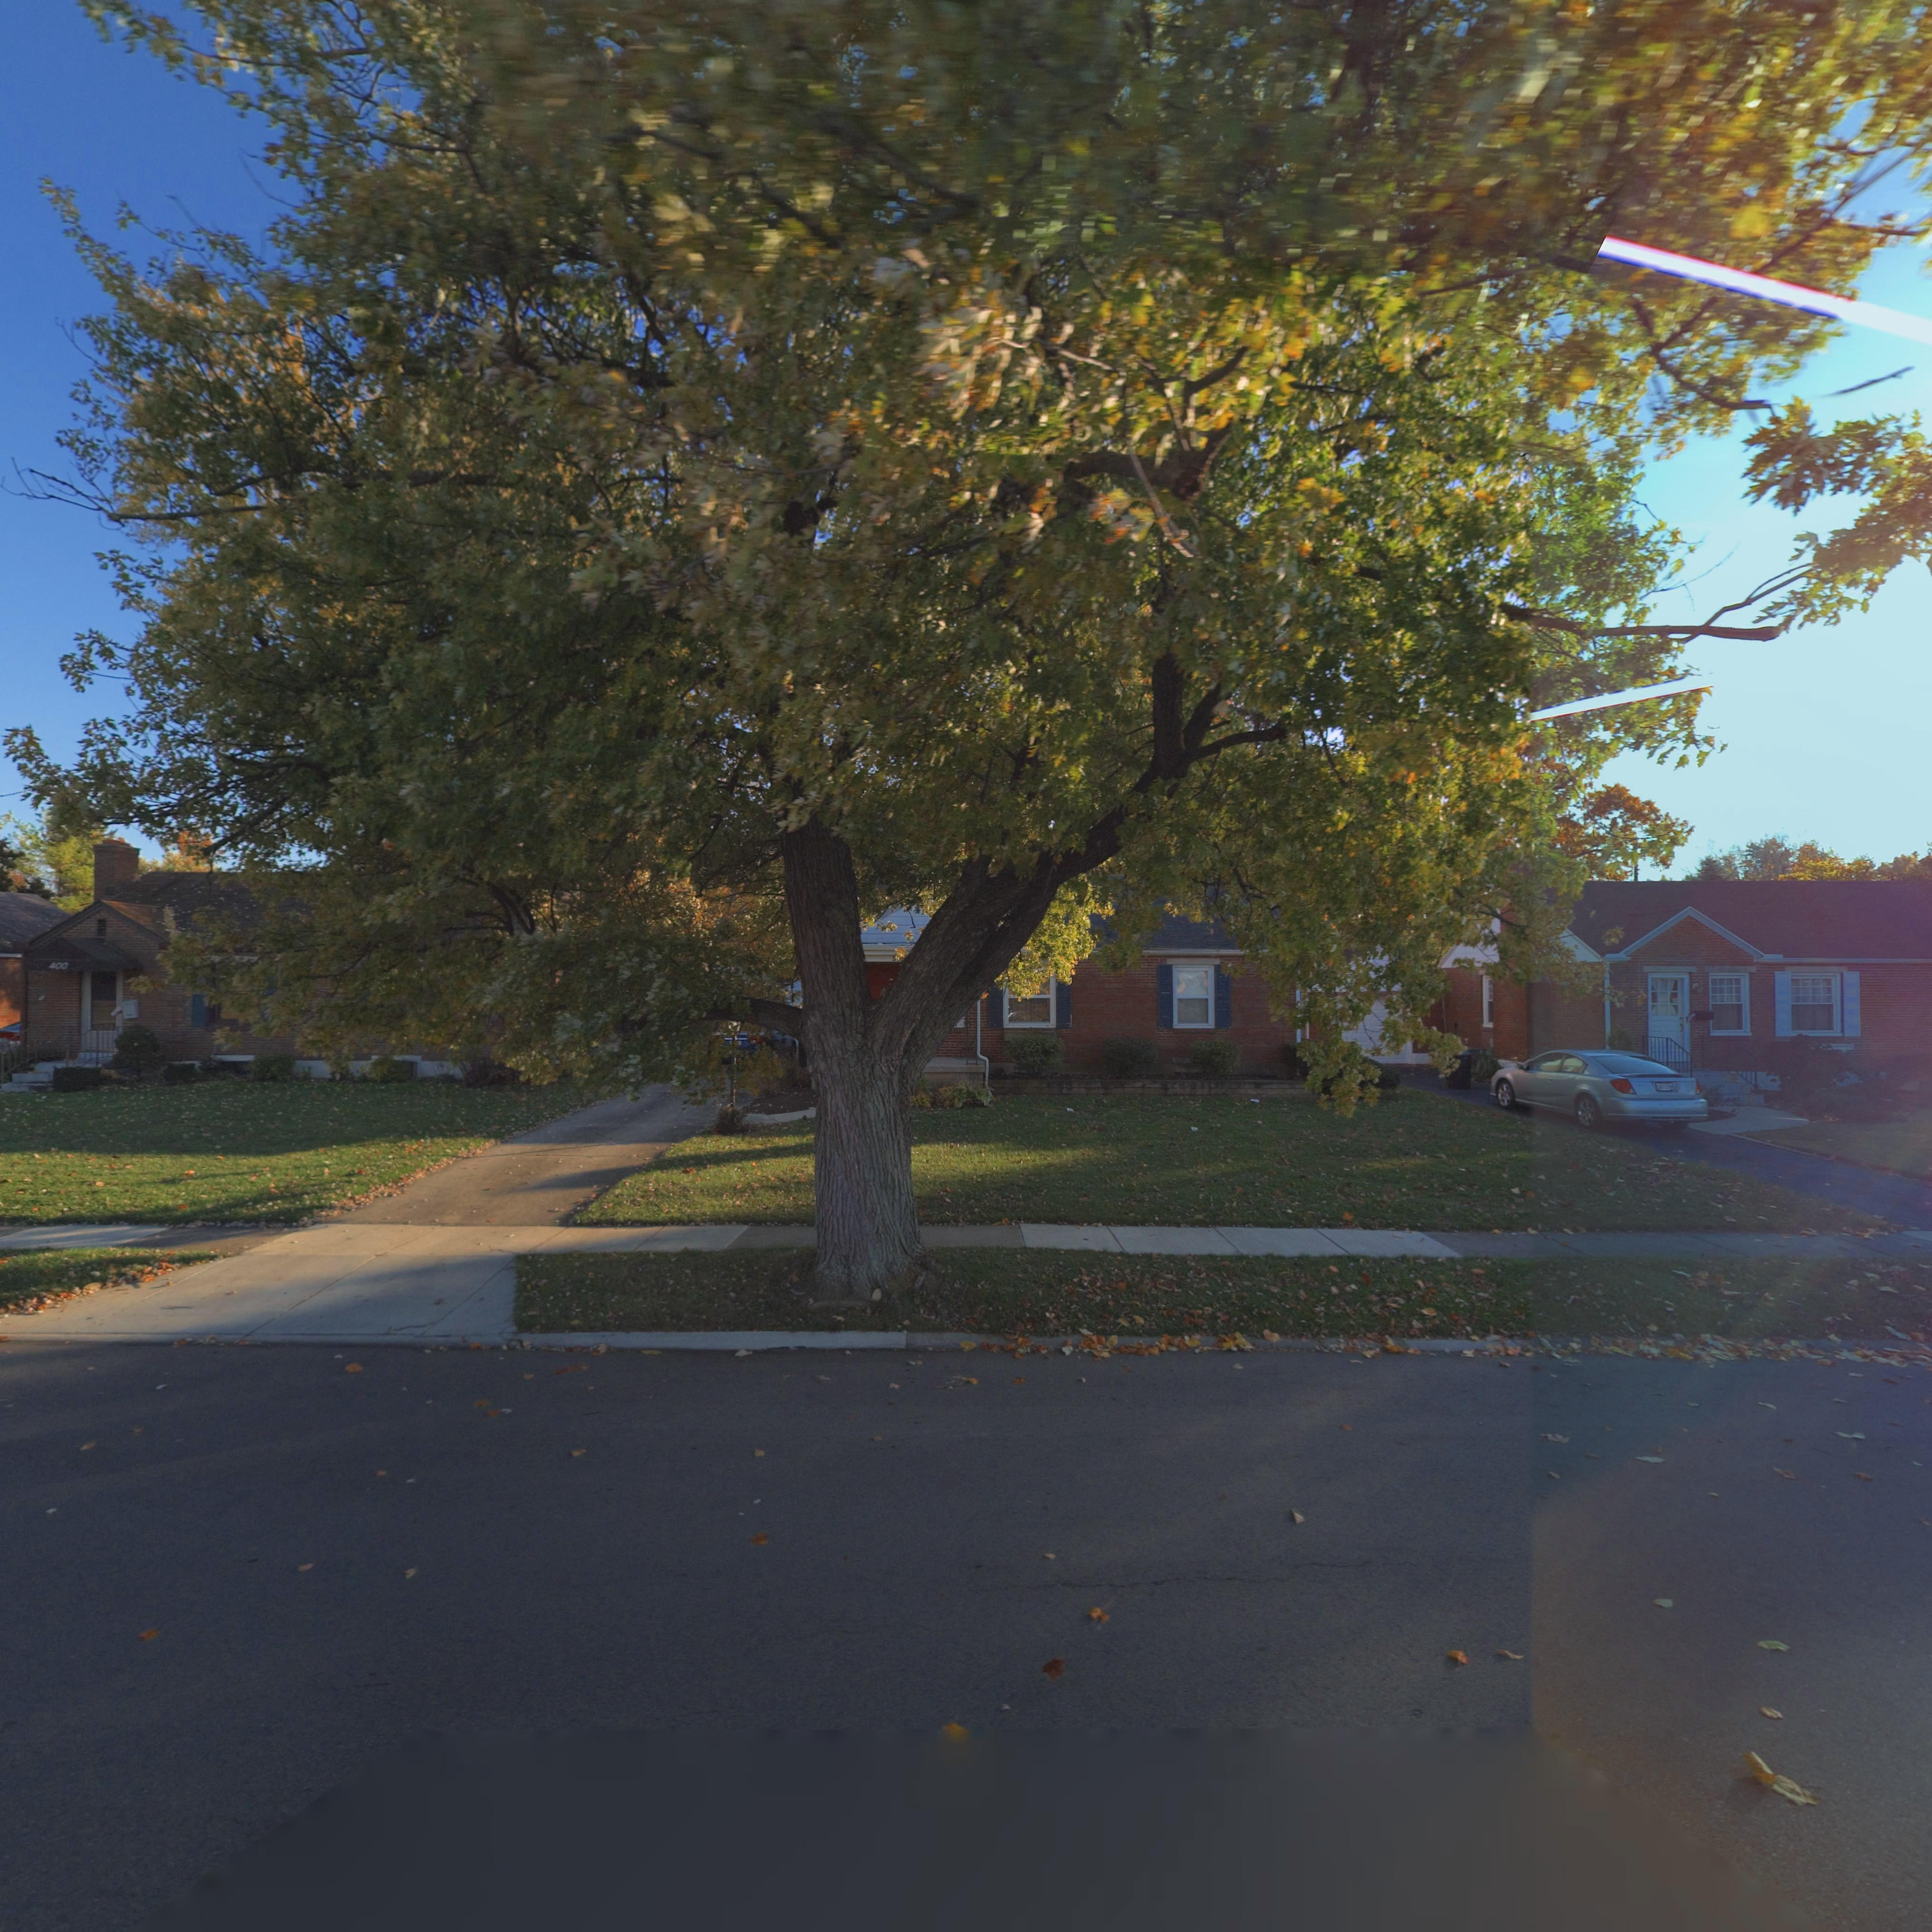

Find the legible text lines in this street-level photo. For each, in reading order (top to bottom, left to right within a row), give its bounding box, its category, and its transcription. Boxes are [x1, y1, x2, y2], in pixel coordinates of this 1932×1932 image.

[48, 961, 70, 970] StreetNumber: 400